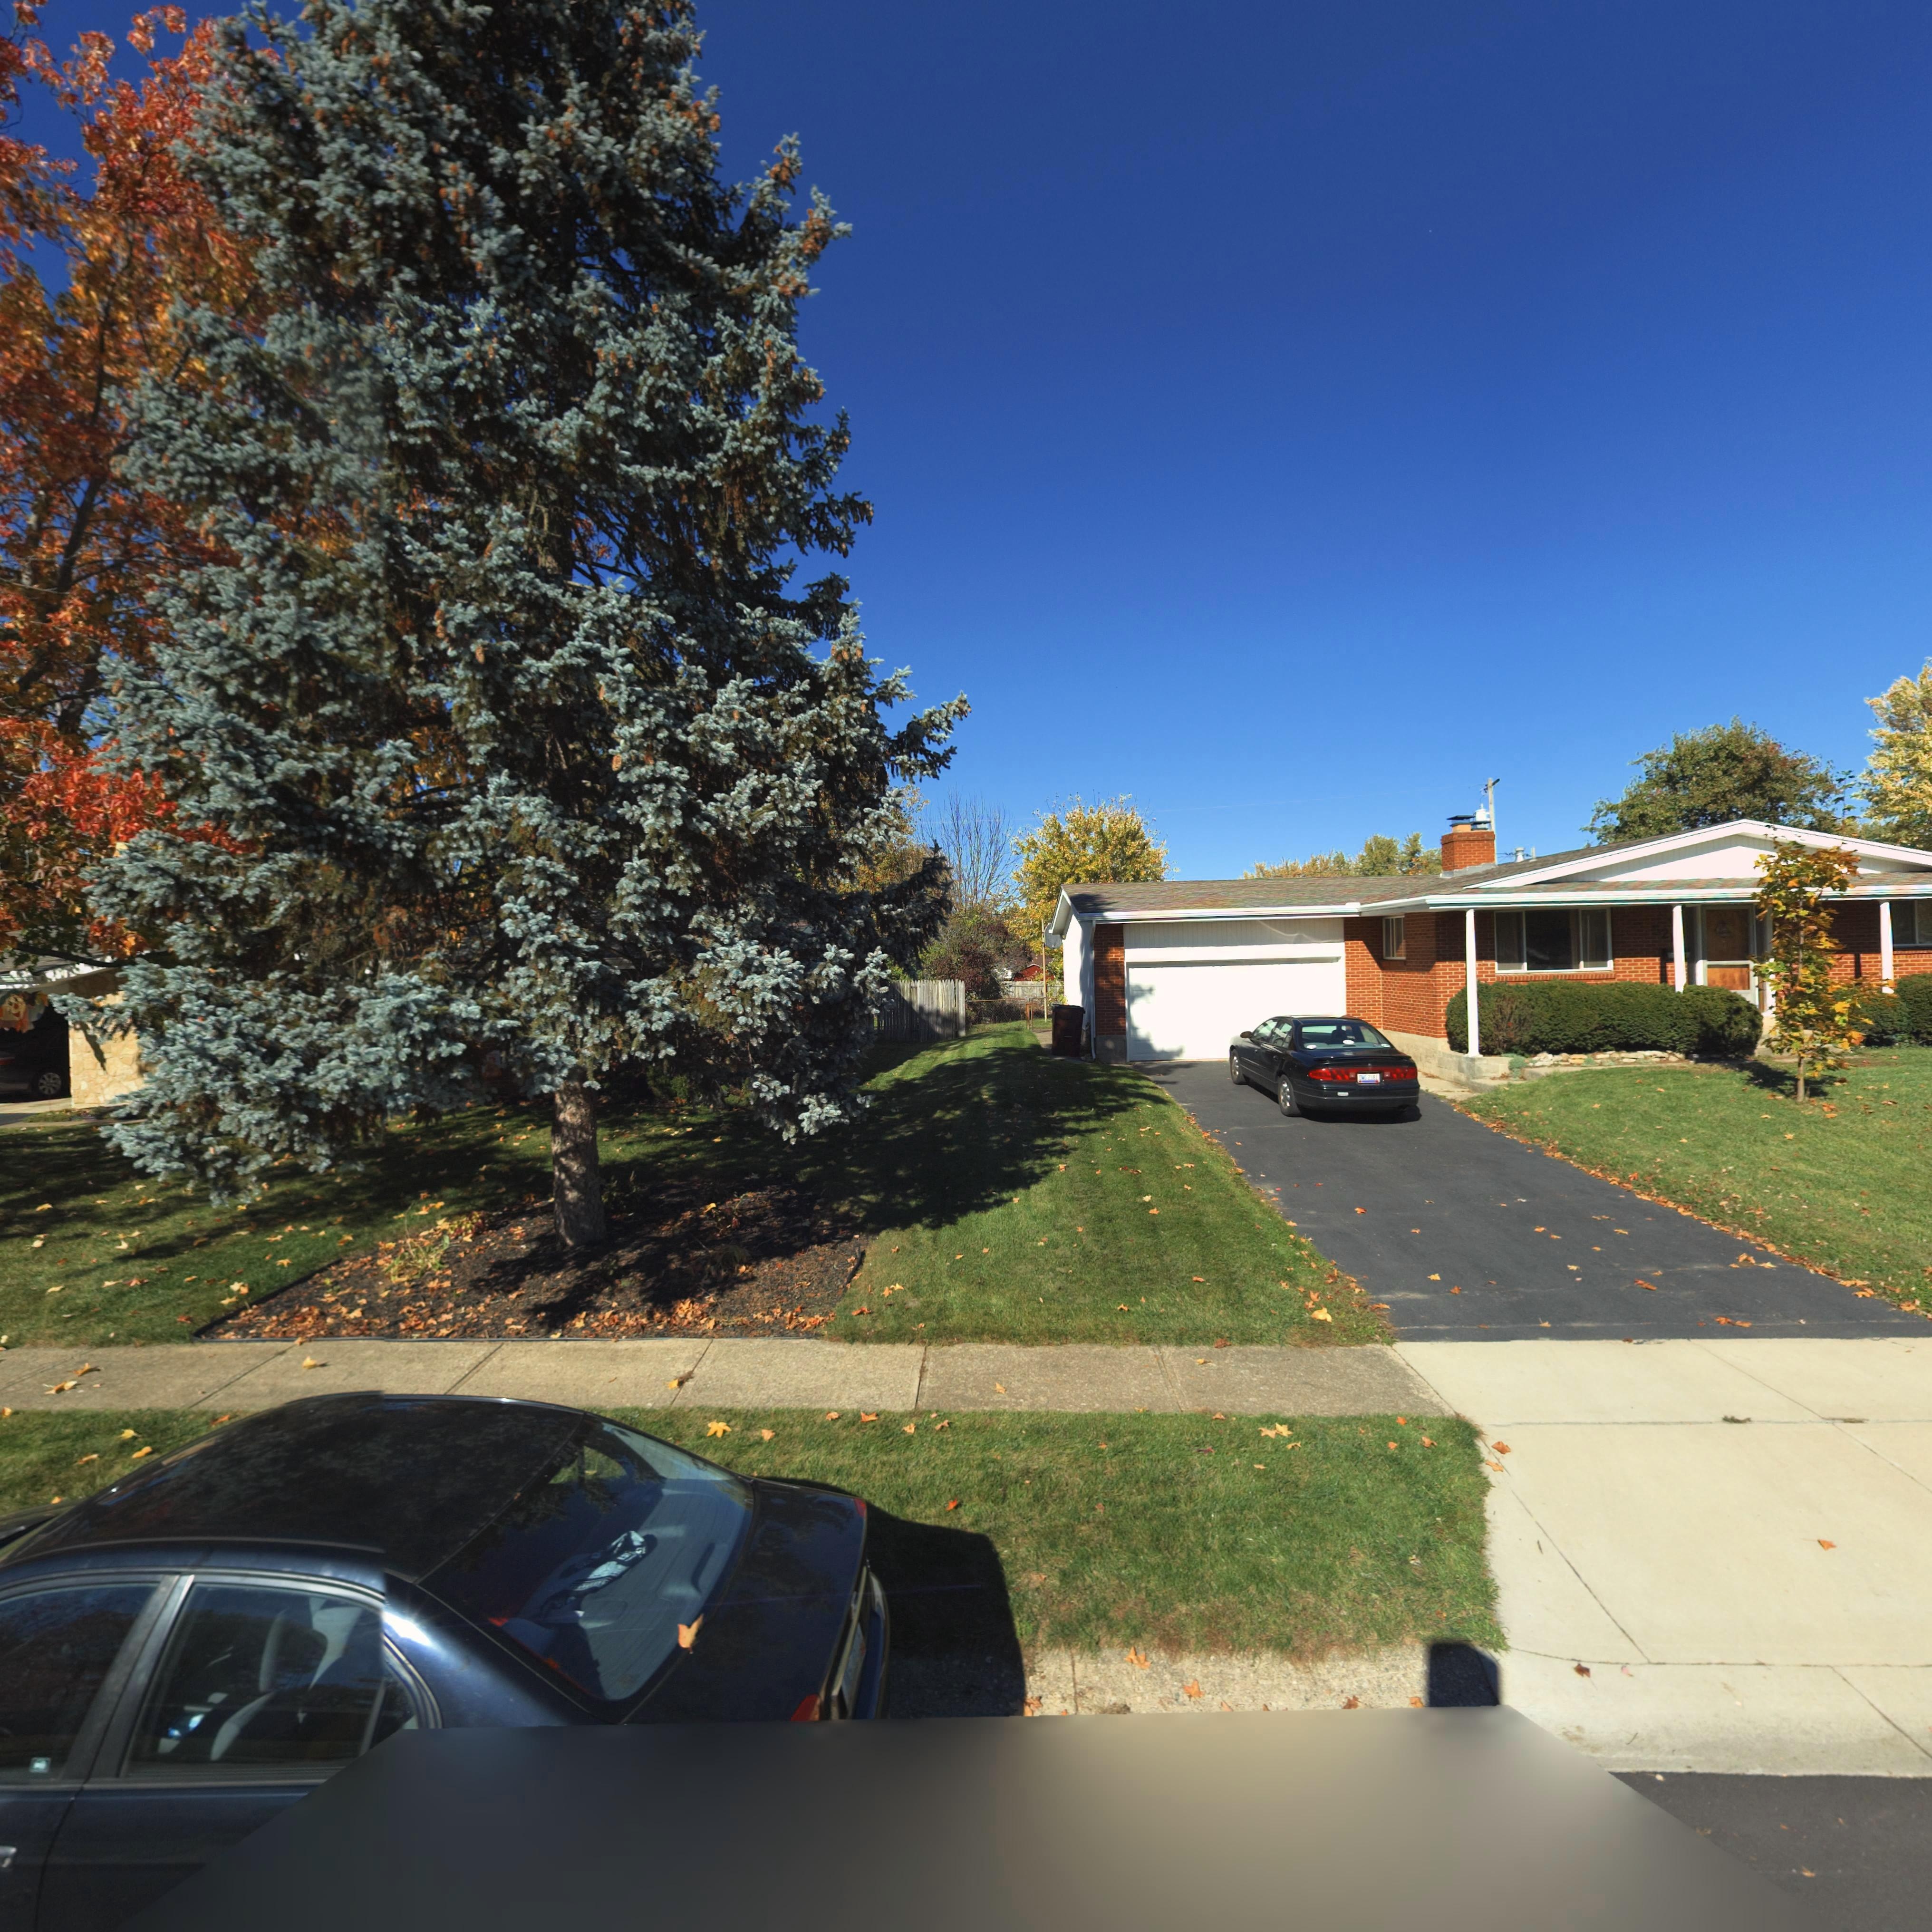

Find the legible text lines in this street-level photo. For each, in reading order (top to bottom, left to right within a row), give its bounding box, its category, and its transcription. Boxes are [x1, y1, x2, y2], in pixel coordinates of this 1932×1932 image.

[1652, 924, 1670, 940] StreetNumber: 52